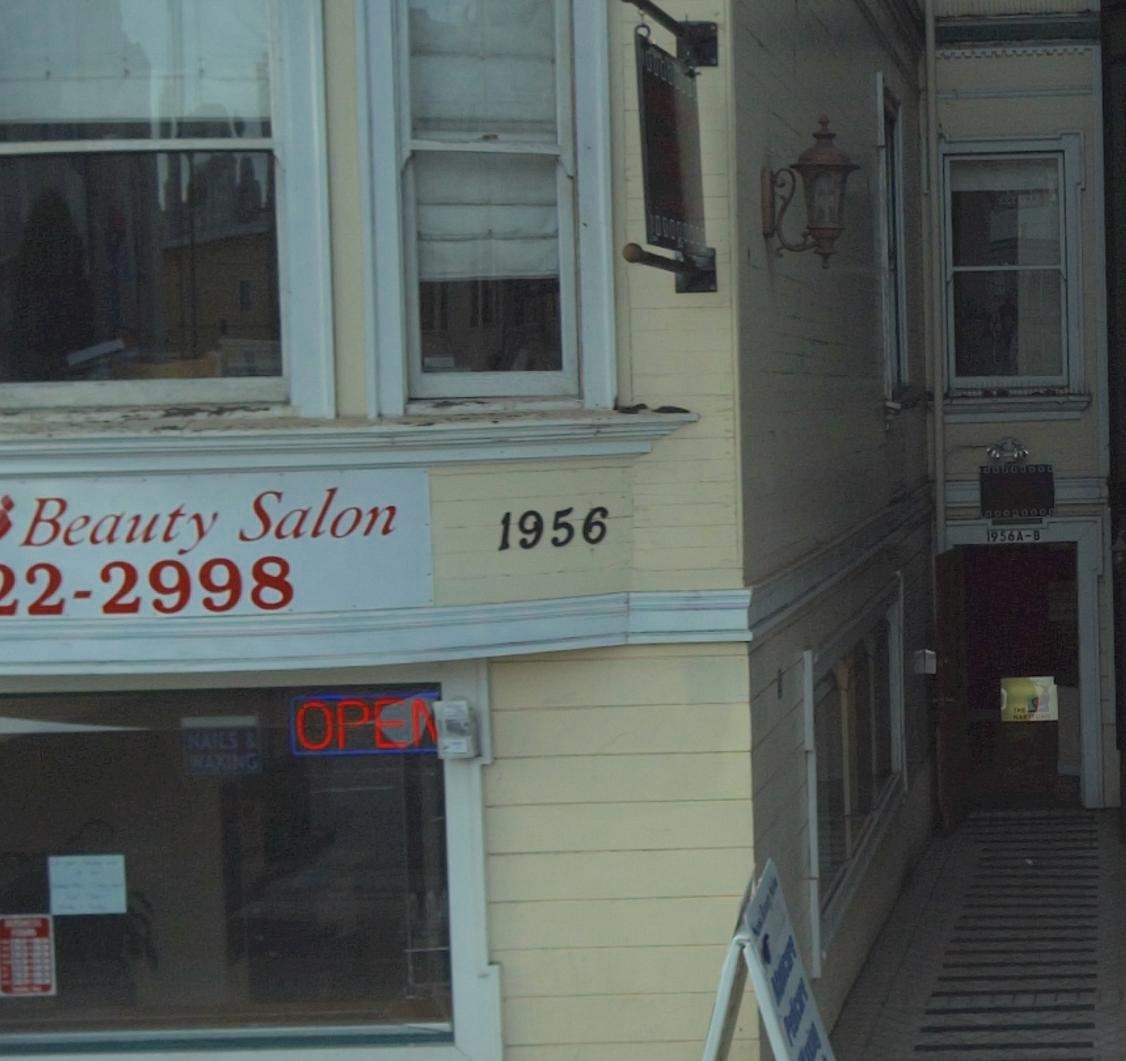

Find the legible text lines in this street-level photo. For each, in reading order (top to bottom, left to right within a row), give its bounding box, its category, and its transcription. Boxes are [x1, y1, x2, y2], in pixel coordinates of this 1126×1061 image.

[9, 480, 404, 560] BusinessName: Beauty Salon
[493, 499, 614, 555] StreetNumber: 1956
[983, 528, 1042, 544] StreetNumber: 1956A-B
[18, 549, 299, 619] None: 2-2998
[184, 726, 243, 755] None: NAILS
[184, 749, 260, 774] None: WAXING
[290, 692, 413, 755] None: OPE